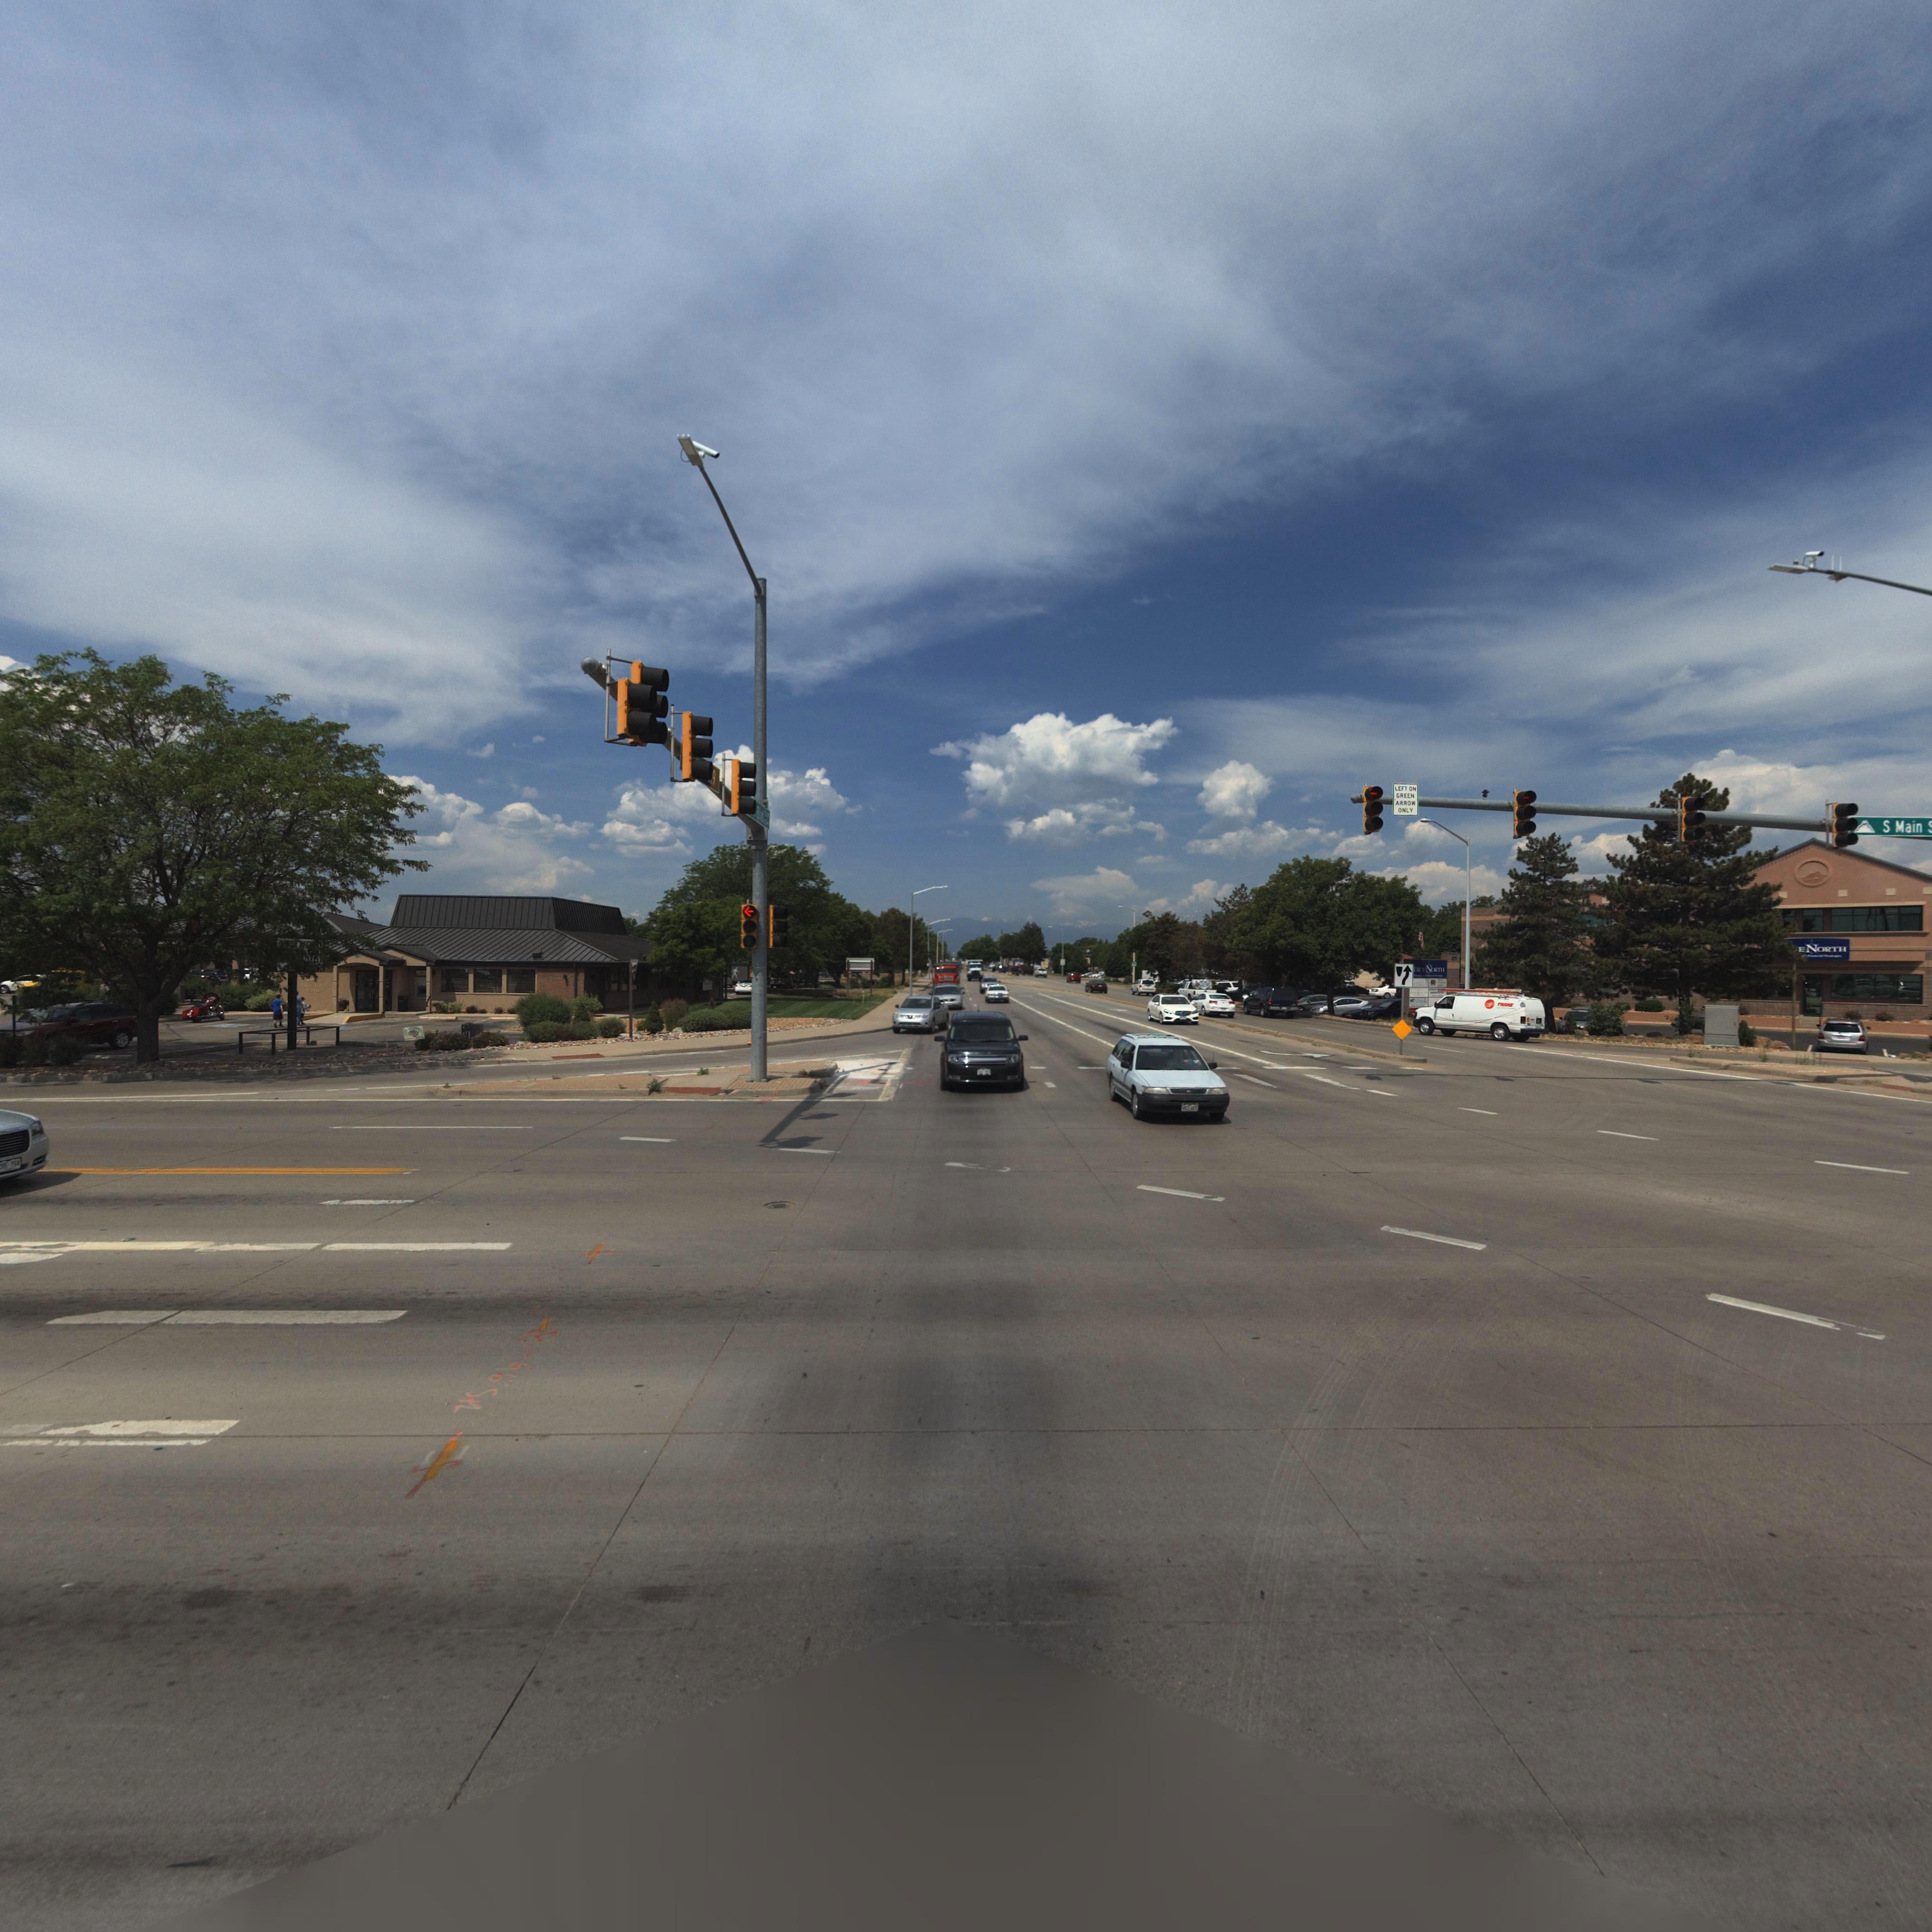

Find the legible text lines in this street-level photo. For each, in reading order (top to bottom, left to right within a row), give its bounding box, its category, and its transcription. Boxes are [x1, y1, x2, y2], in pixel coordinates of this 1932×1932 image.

[1882, 819, 1923, 833] StreetName: S Main
[1797, 943, 1846, 953] BusinessName: E NORTH
[1412, 964, 1445, 973] BusinessName: *RUE NORTH